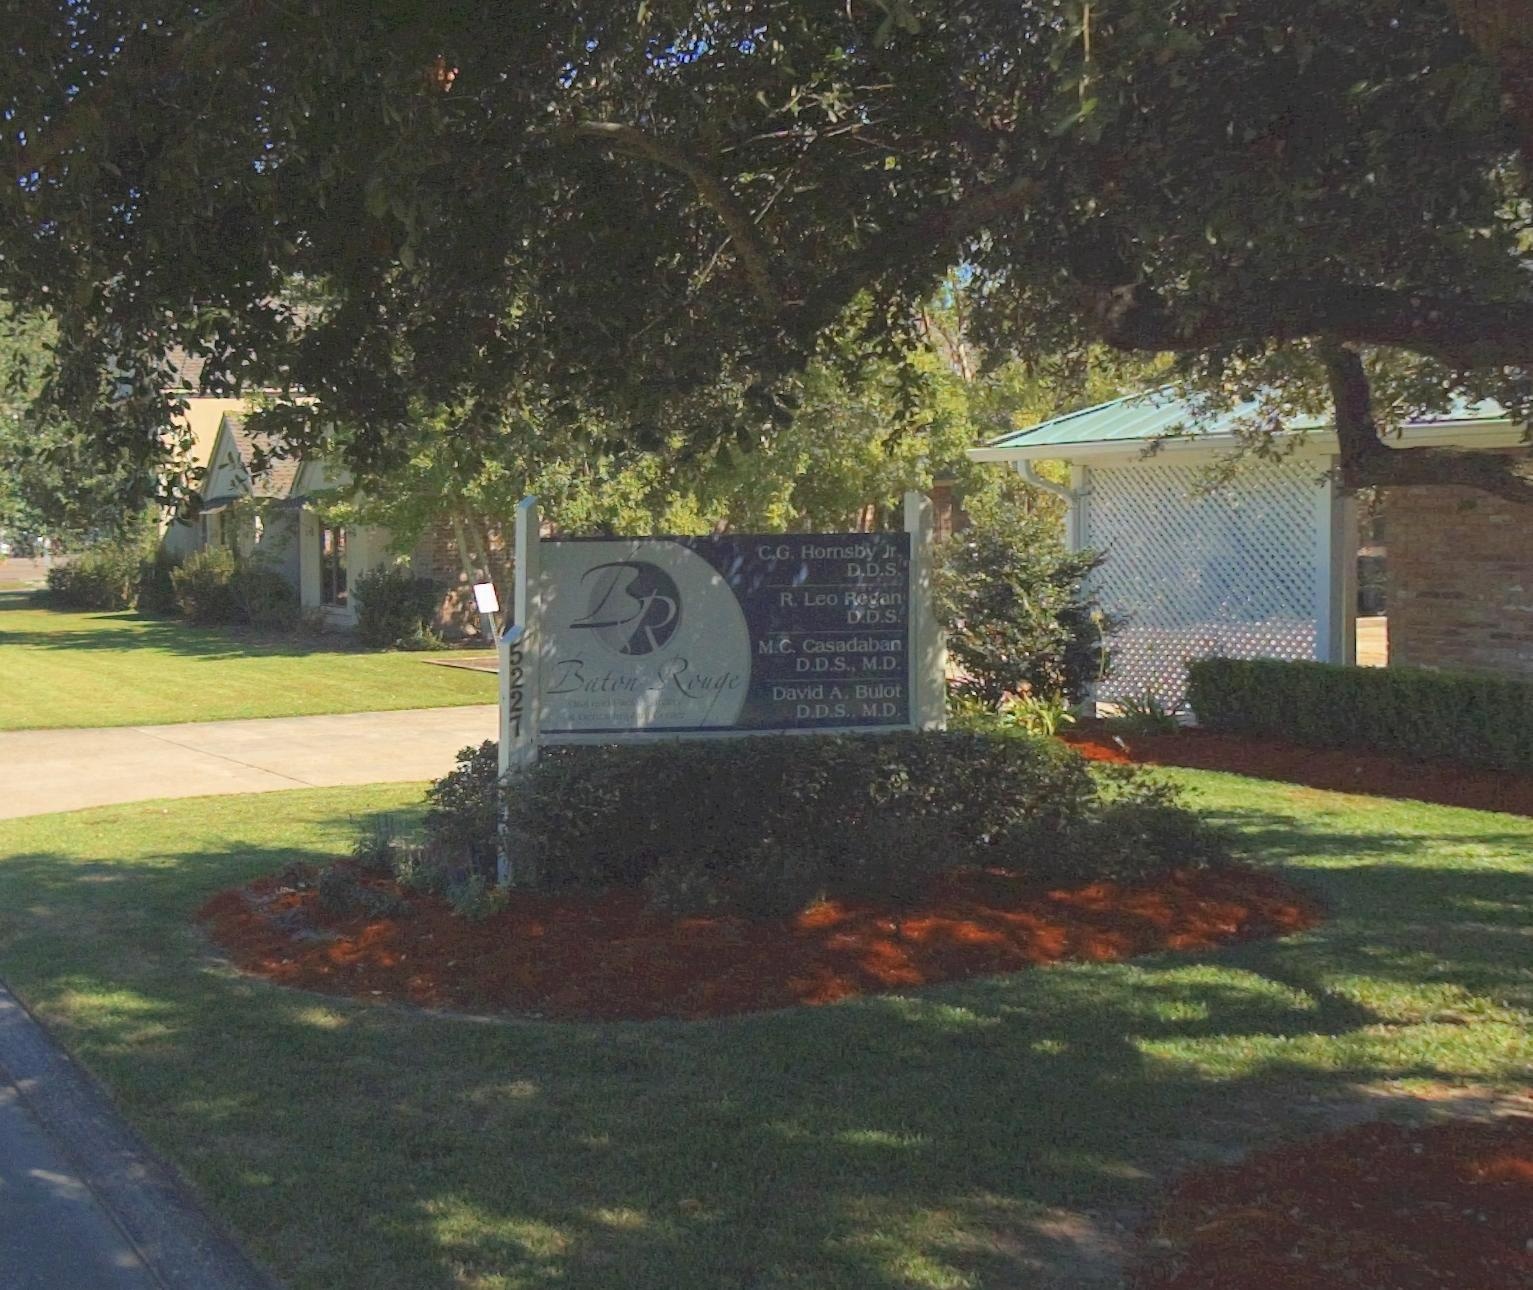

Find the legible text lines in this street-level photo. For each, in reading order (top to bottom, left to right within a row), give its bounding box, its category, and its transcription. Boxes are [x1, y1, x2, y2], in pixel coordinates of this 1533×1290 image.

[756, 543, 901, 565] None: C.G. Hornsby Jr.
[844, 561, 903, 581] None: D.D.S.
[569, 562, 679, 658] None: BR
[778, 590, 906, 610] None: R. Leo Regan
[843, 605, 904, 627] None: D.D.S.
[753, 634, 906, 658] None: M.C. Casadaban
[795, 653, 904, 676] None: D.D.S., M.D.
[507, 641, 524, 738] StreetNumber: 5227
[541, 654, 742, 702] BusinessName: Baton Rouge
[772, 681, 905, 704] None: David A. Bulot
[793, 702, 901, 720] None: D.D.S., M.D.